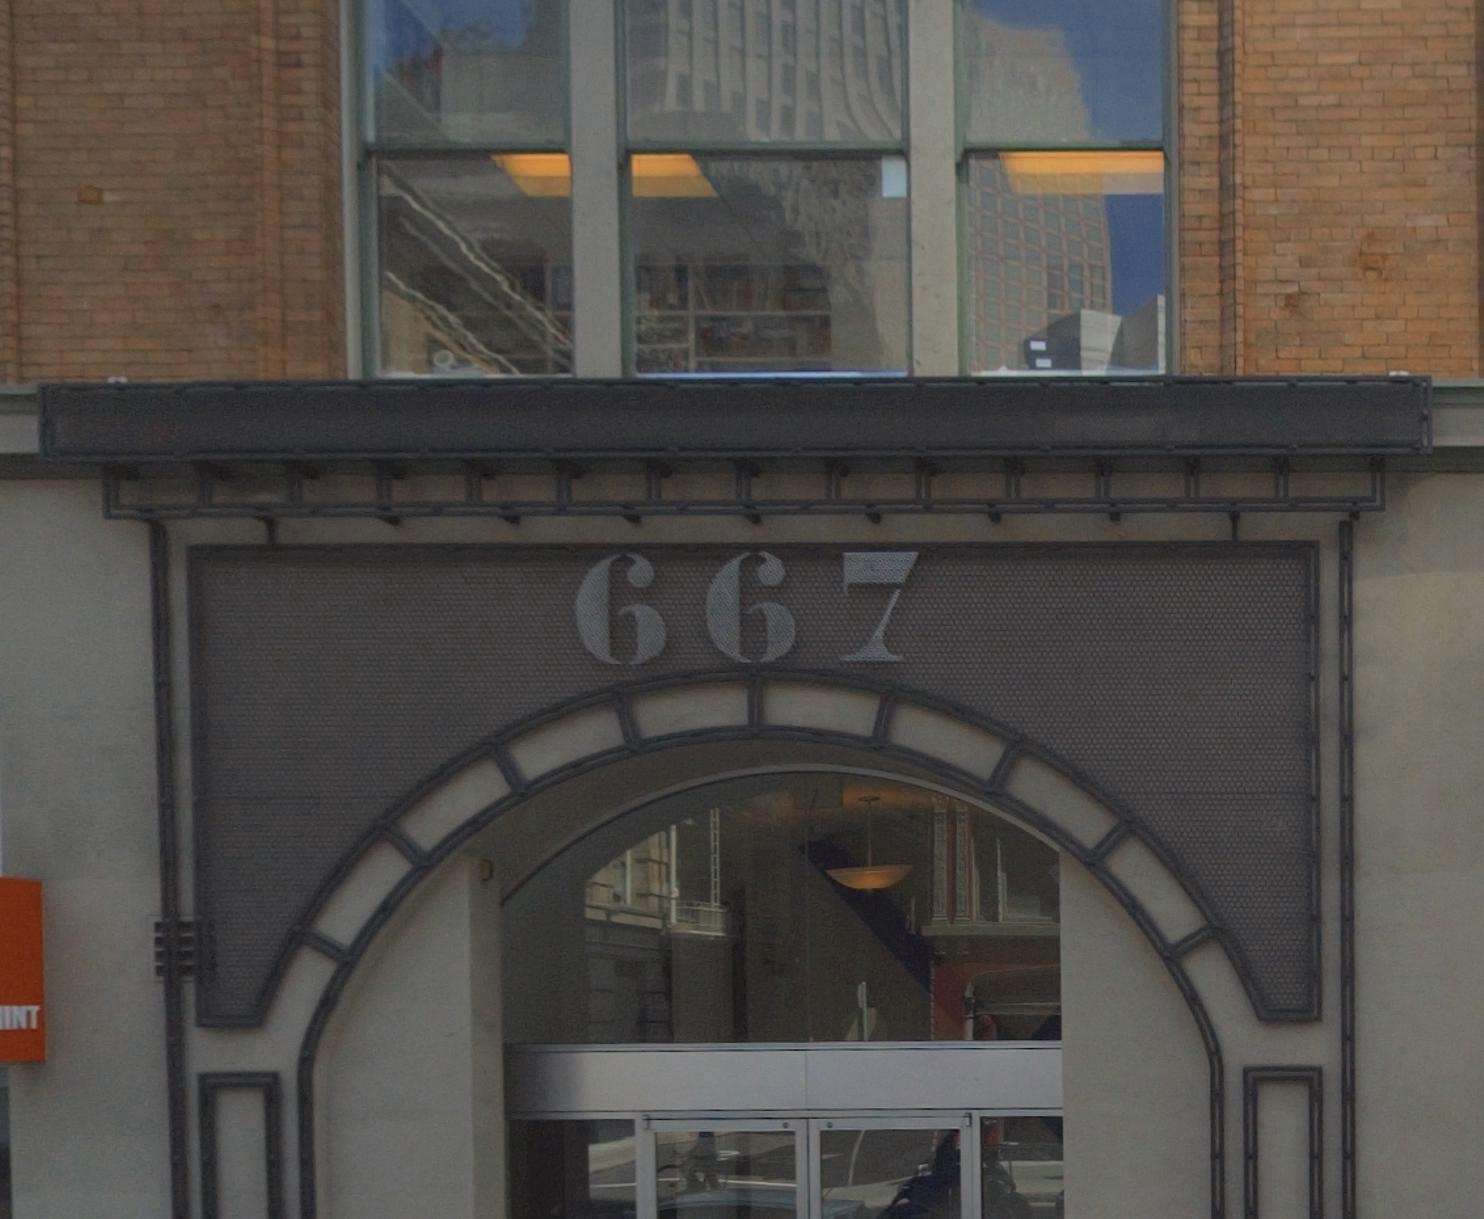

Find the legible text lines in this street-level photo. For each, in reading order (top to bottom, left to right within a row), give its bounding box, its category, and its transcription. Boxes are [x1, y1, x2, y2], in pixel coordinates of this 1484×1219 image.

[565, 540, 924, 671] StreetNumber: 667
[1, 1002, 41, 1032] None: INT